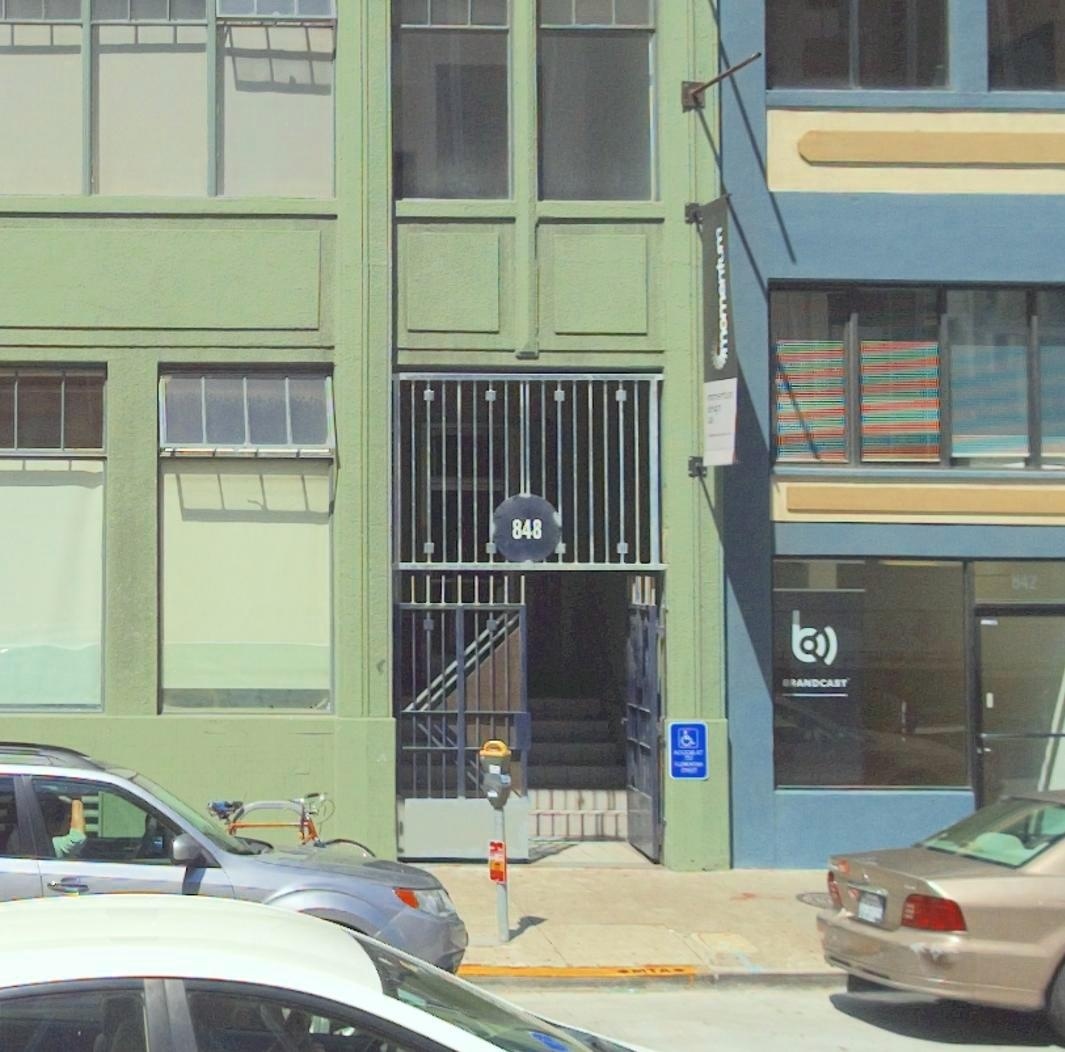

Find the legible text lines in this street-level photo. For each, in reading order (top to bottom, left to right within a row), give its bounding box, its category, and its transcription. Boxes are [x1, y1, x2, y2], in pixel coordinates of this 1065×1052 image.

[510, 518, 543, 540] StreetNumber: 848
[1011, 571, 1038, 591] StreetNumber: 842
[782, 677, 850, 689] None: BRANDCAST